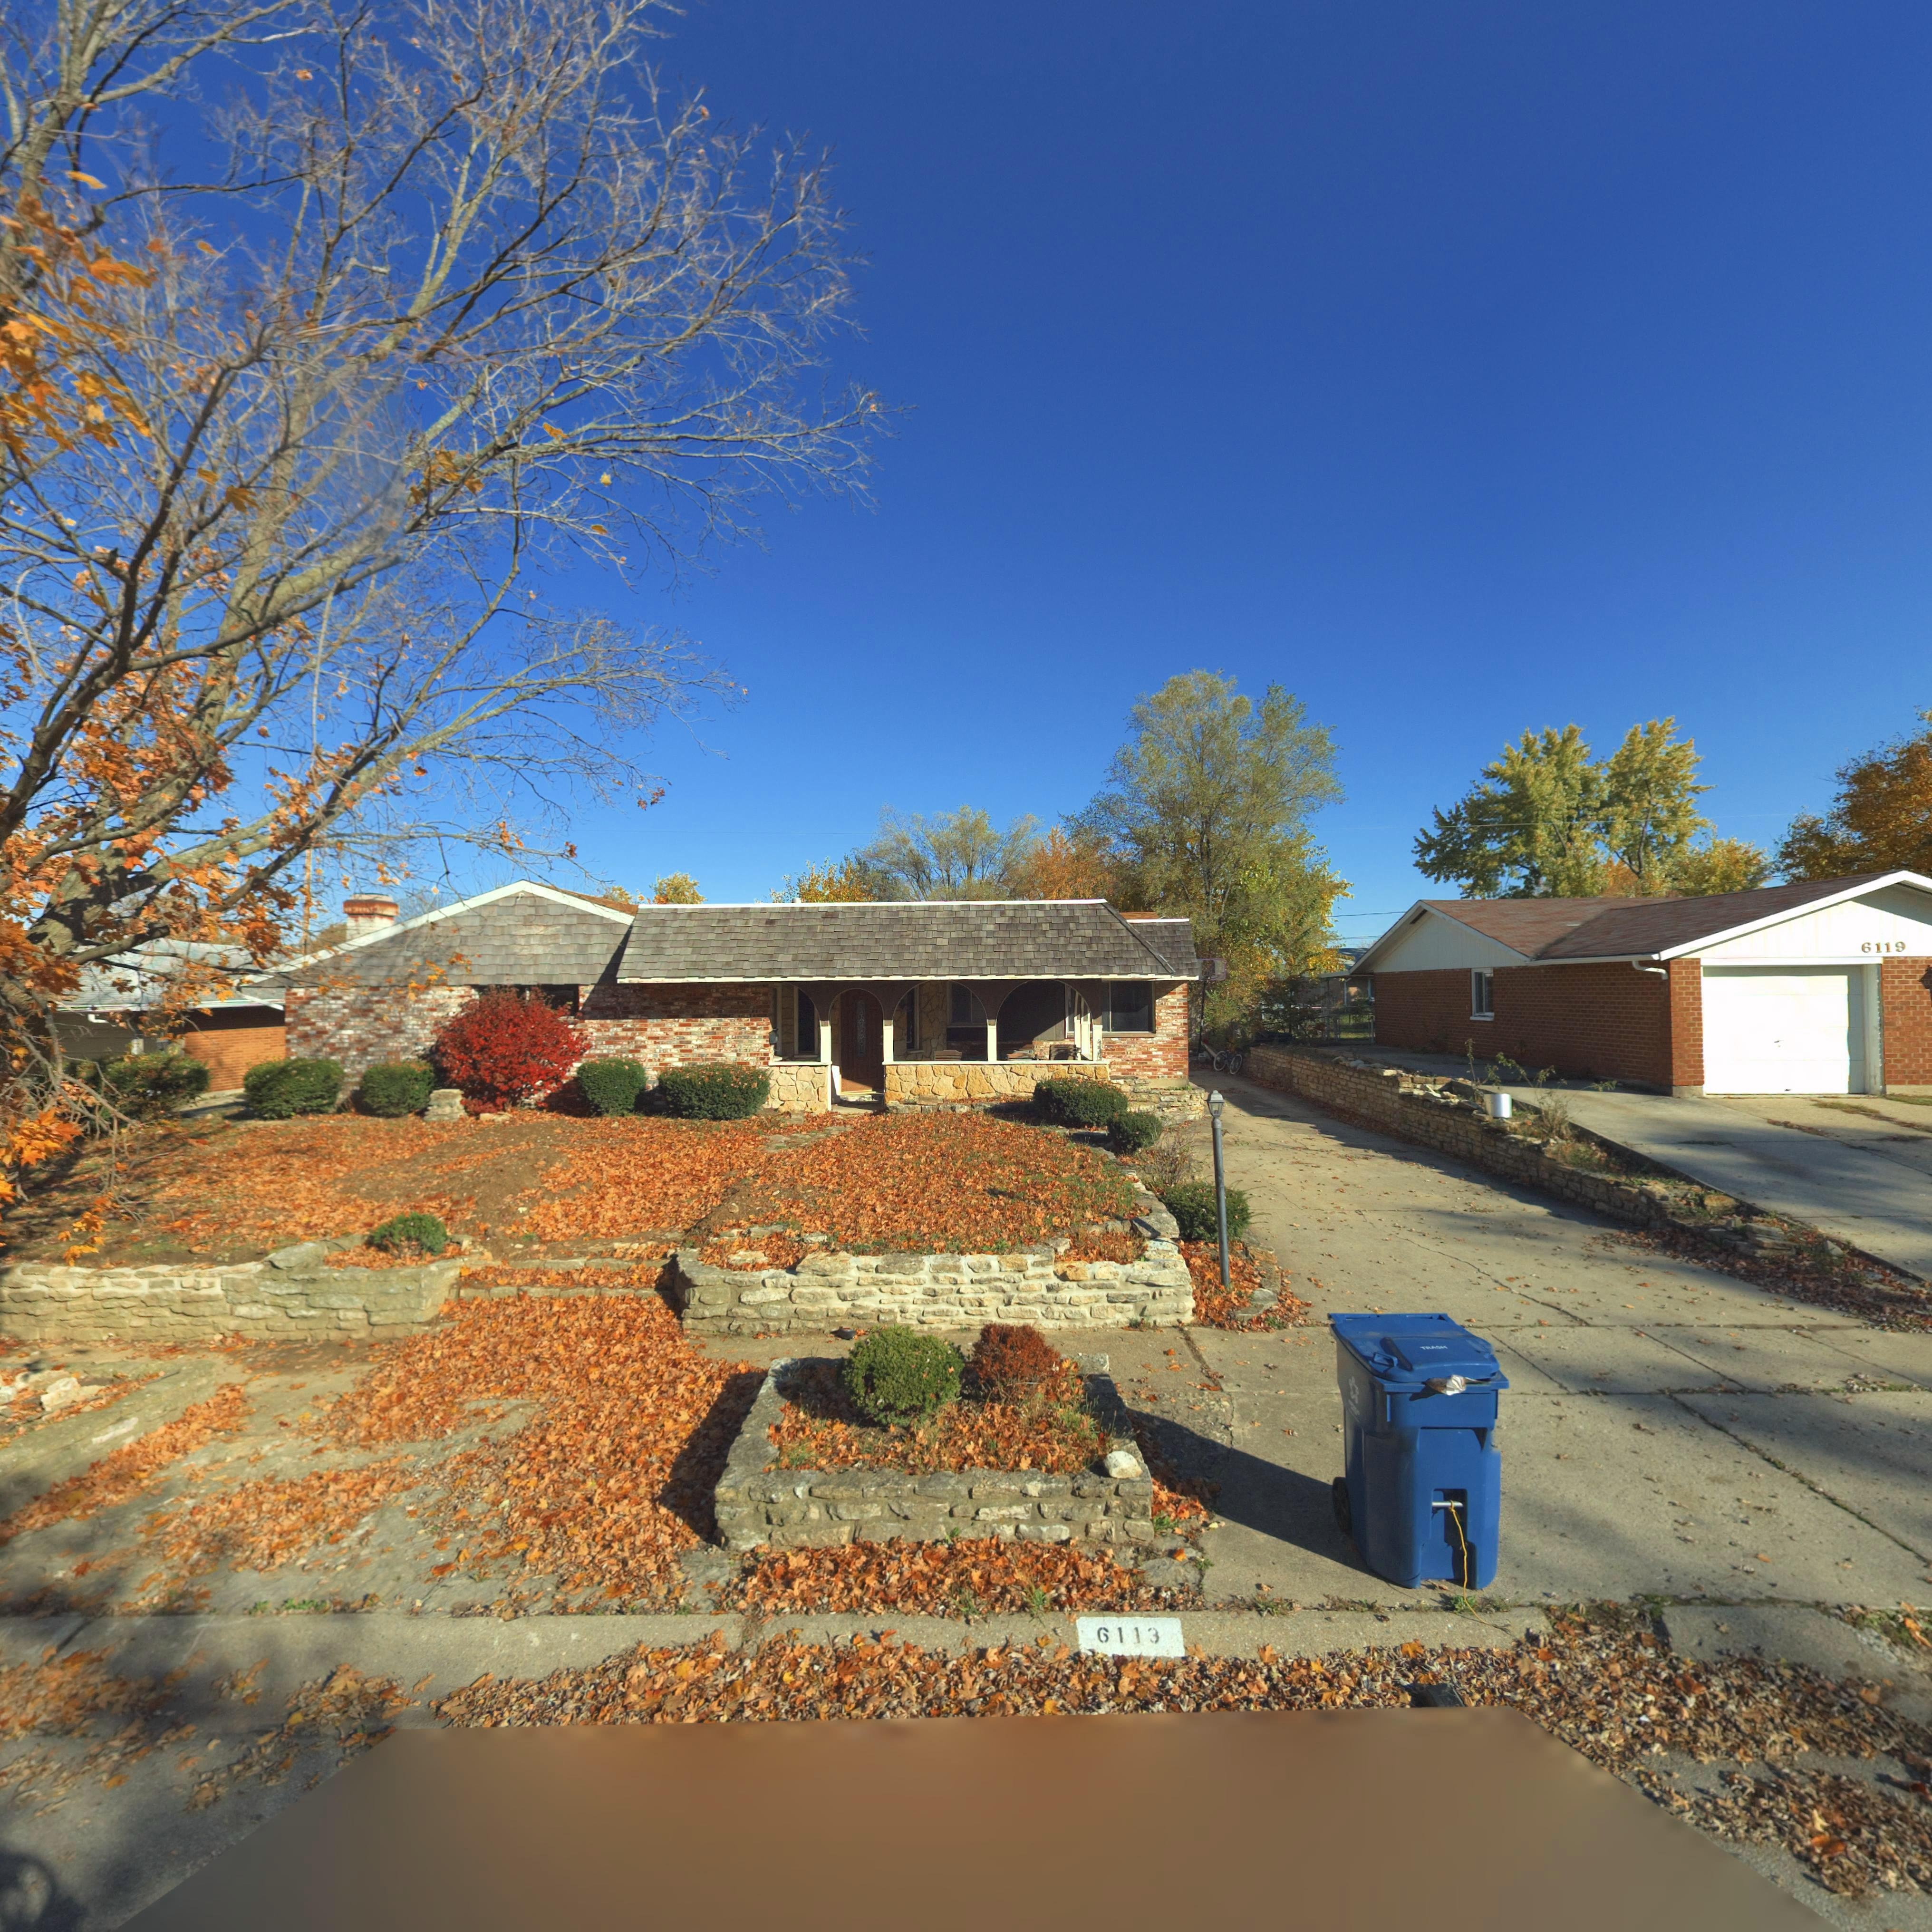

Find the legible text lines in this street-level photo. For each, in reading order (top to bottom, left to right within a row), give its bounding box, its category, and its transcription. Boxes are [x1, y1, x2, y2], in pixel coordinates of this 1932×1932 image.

[1861, 941, 1906, 954] StreetNumber: 6119
[1097, 1625, 1162, 1645] StreetNumber: 6113